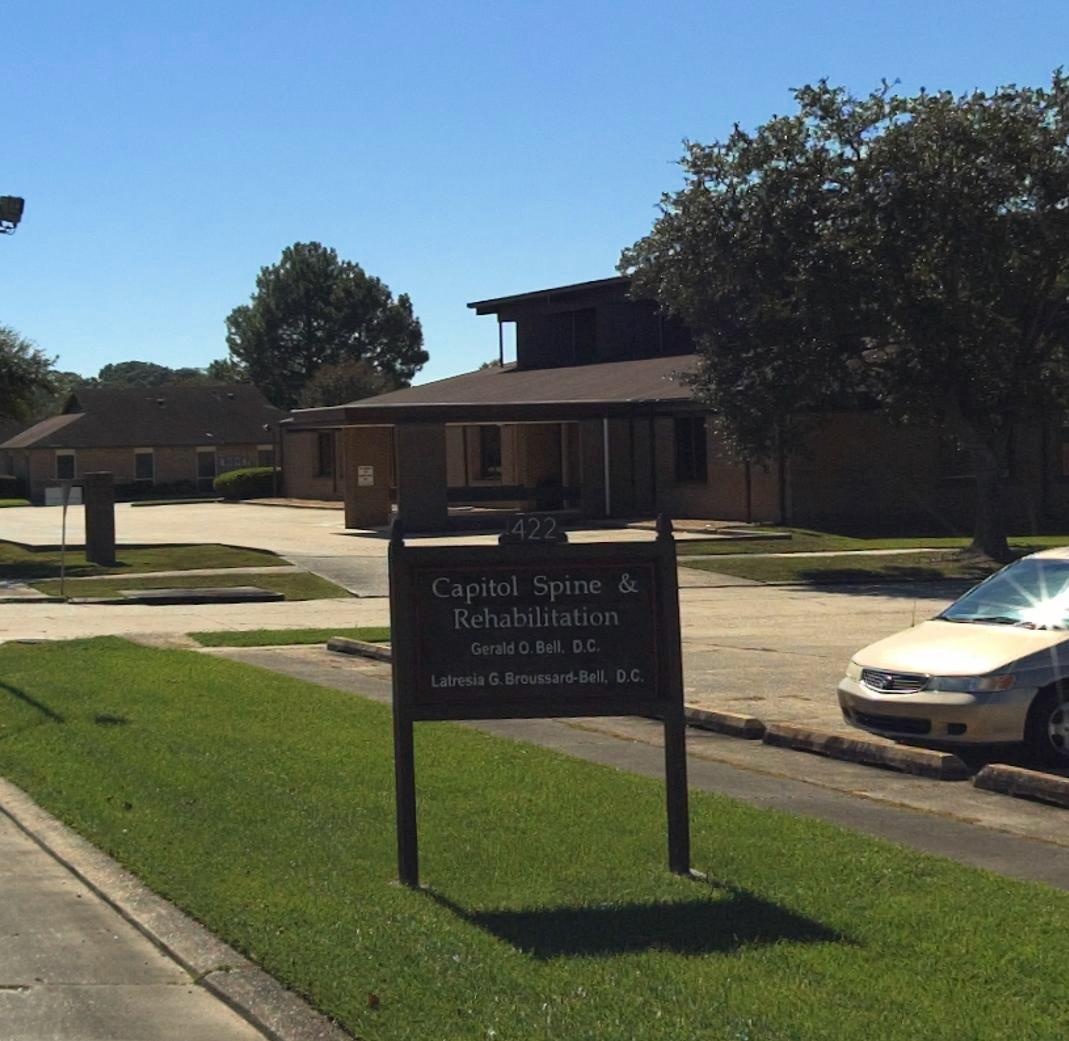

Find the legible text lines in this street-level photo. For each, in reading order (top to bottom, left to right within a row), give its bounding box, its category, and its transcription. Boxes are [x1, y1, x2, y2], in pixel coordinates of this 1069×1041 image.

[504, 515, 559, 543] StreetNumber: 422
[429, 569, 642, 606] BusinessName: Capitol Spine &
[446, 602, 623, 633] BusinessName: Rehabilitation
[467, 637, 604, 658] None: Gerald O. Bell , D.C.
[428, 667, 648, 690] None: Latresia G. Broussard-Bell, D.C.